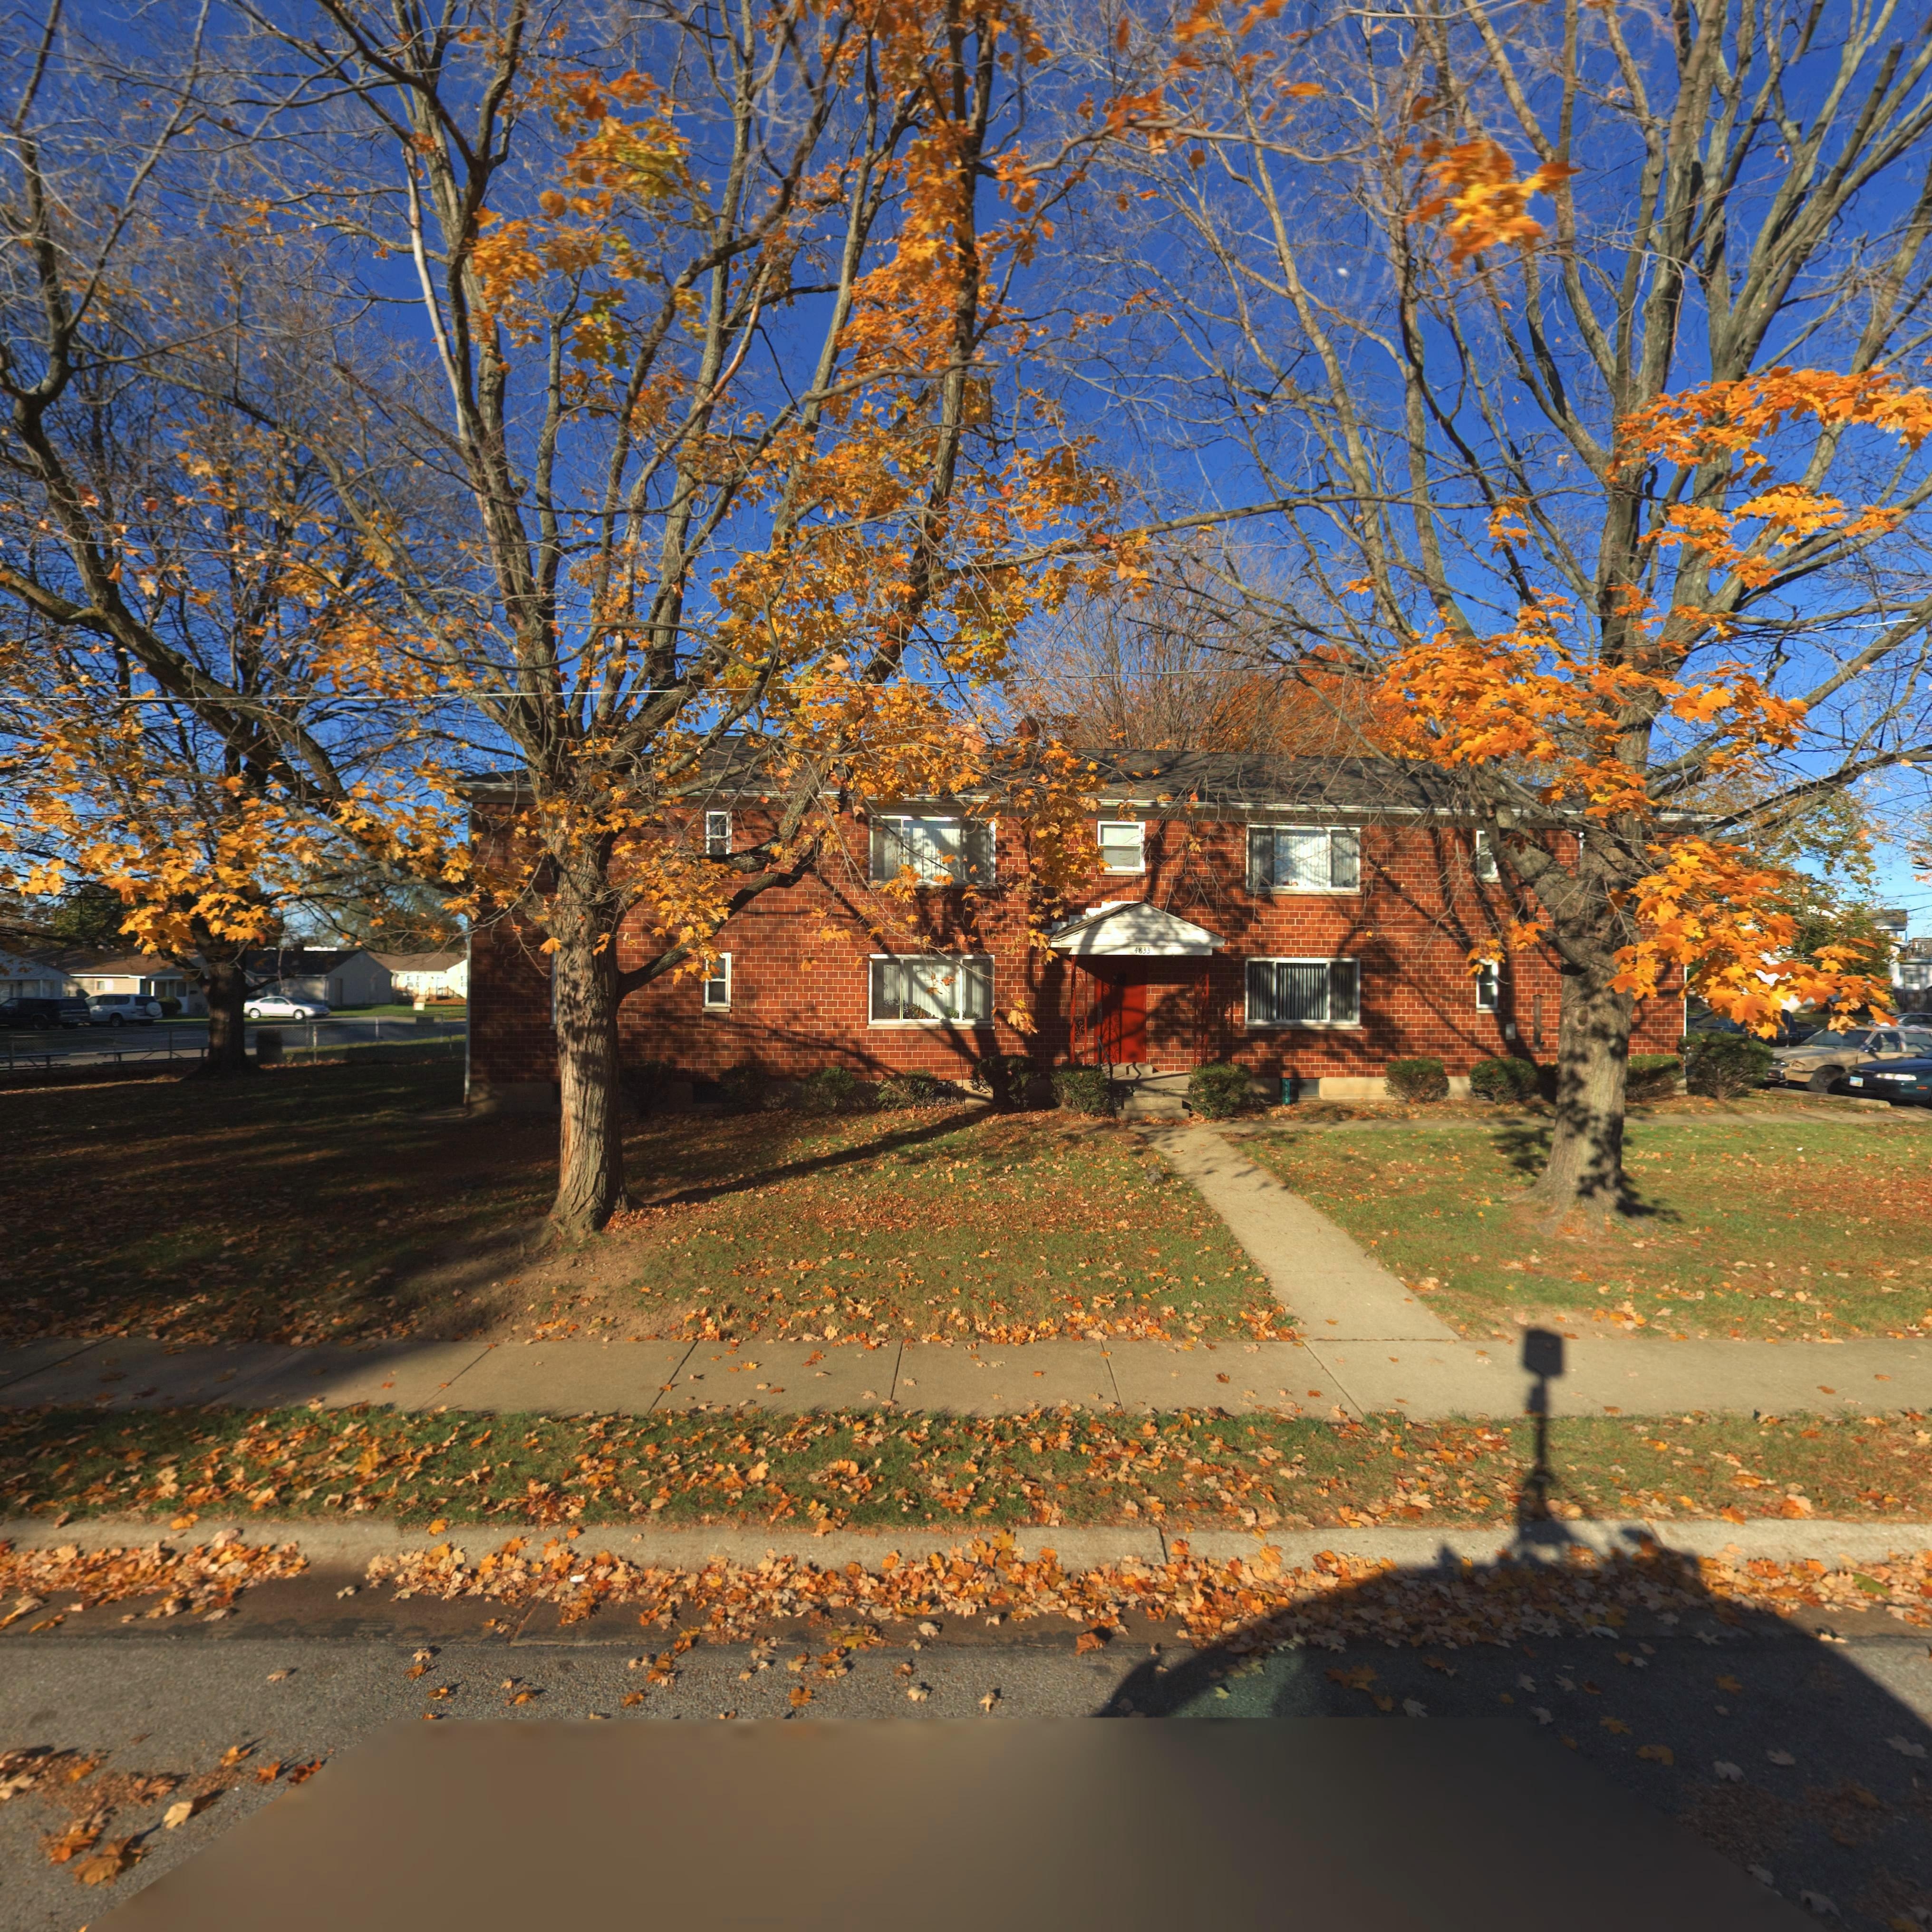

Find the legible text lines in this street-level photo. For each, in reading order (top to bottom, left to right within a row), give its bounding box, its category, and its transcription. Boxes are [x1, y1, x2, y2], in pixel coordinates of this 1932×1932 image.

[1133, 946, 1151, 955] StreetNumber: 4833